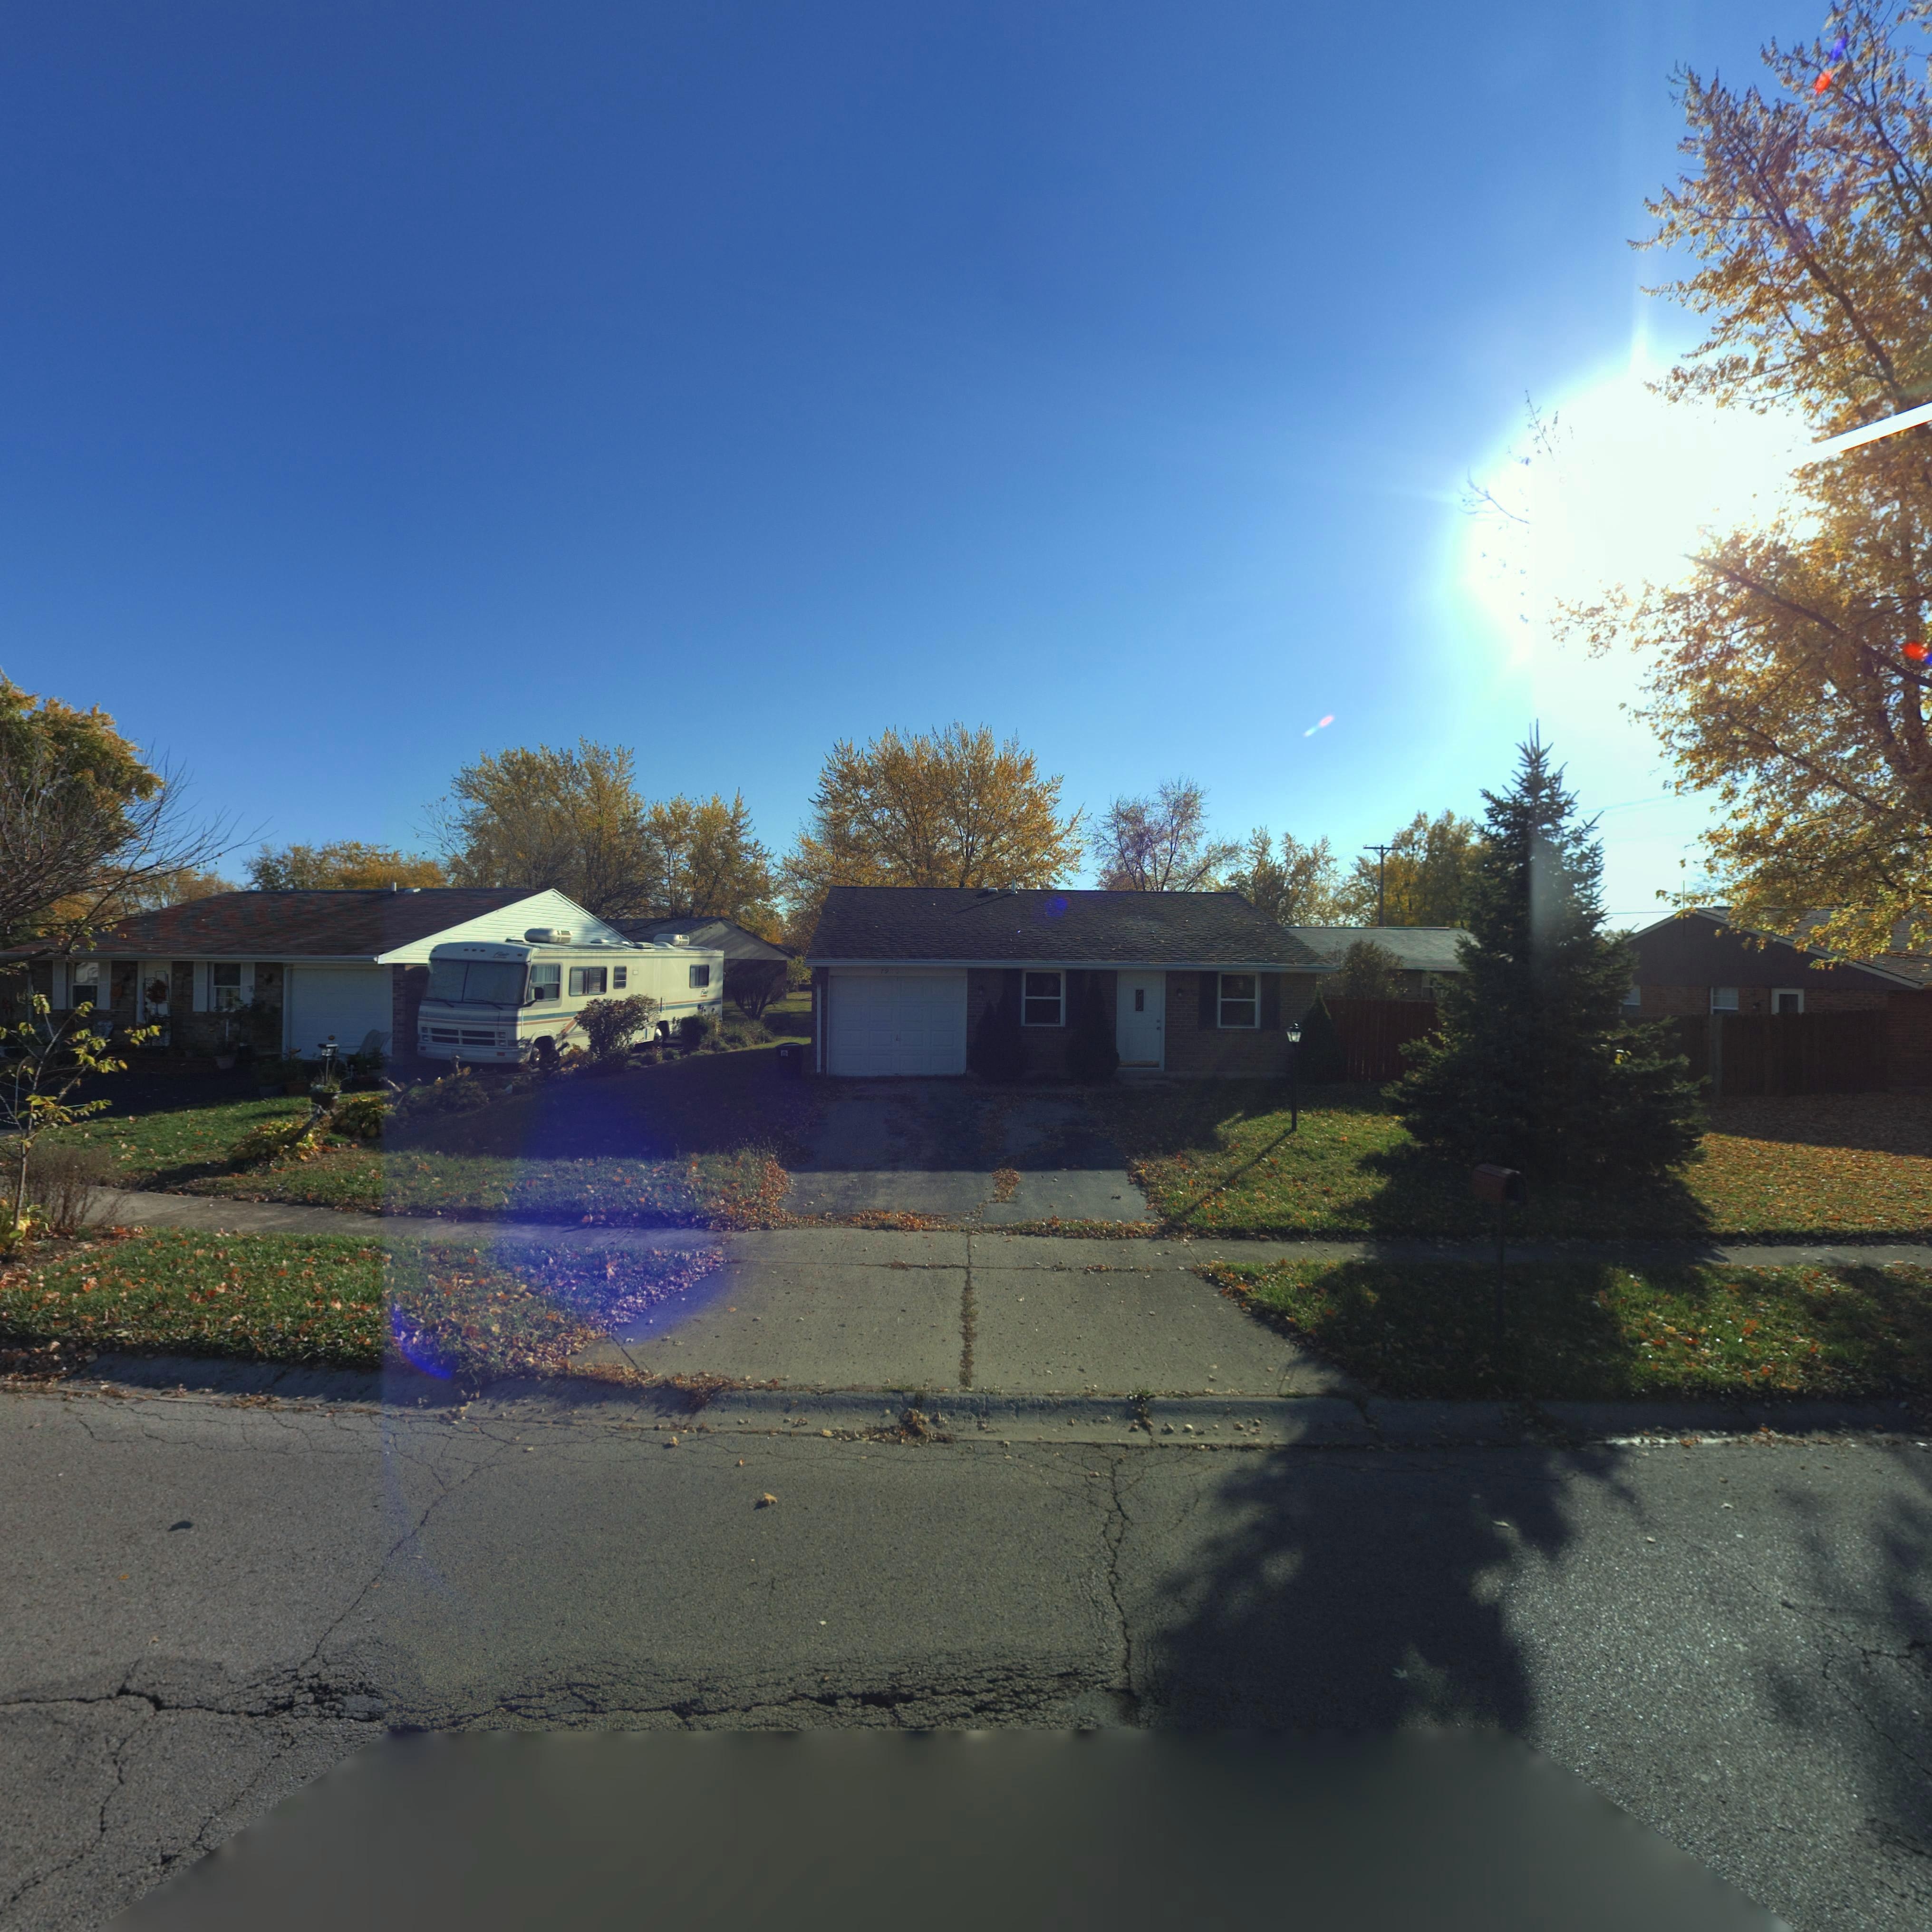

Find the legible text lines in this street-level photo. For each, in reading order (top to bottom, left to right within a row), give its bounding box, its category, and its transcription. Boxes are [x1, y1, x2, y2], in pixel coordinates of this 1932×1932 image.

[879, 967, 901, 976] StreetNumber: 79**